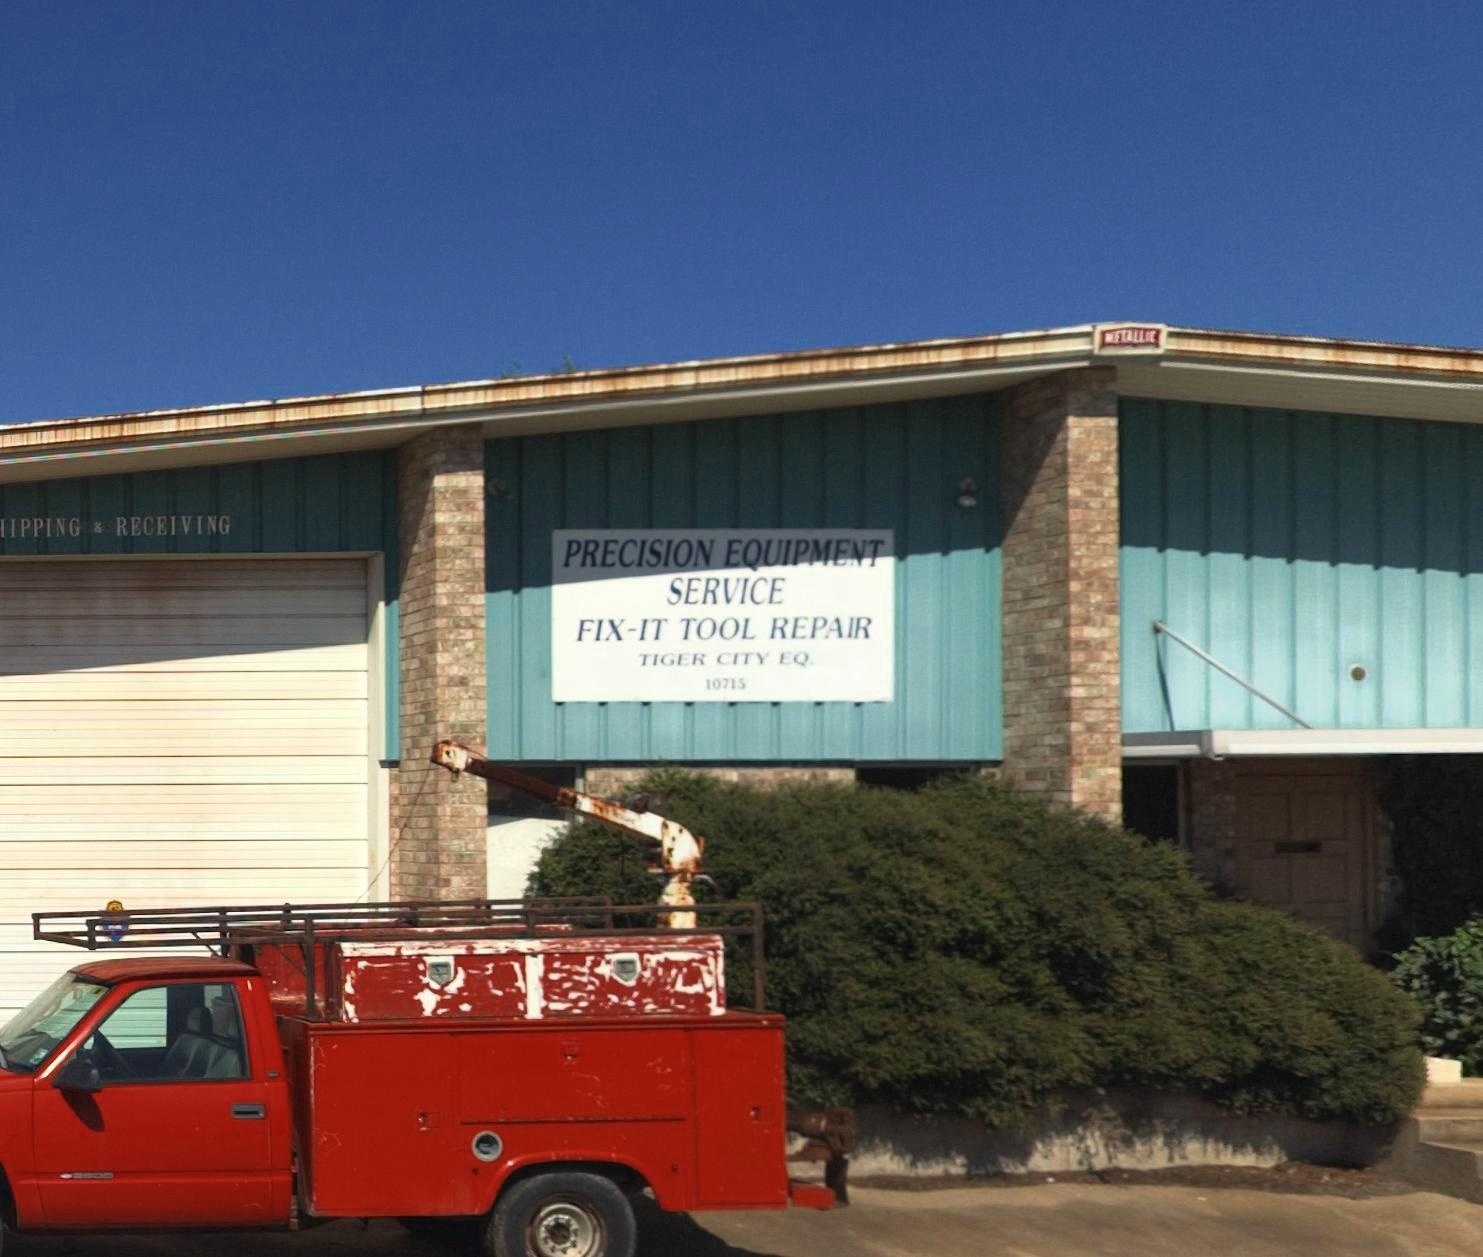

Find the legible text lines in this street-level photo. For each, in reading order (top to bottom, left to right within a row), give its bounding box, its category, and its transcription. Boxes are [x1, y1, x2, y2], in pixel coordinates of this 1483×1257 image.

[6, 511, 234, 542] None: IPPING & RECEIVING
[554, 532, 895, 573] BusinessName: PERCISION EQUIPMENT
[661, 574, 791, 609] BusinessName: SERVICE
[572, 613, 876, 645] None: FIX-IT TOOL REPAIR
[636, 648, 814, 671] None: TIGER CITY EQ
[703, 674, 750, 694] StreetNumber: 10715